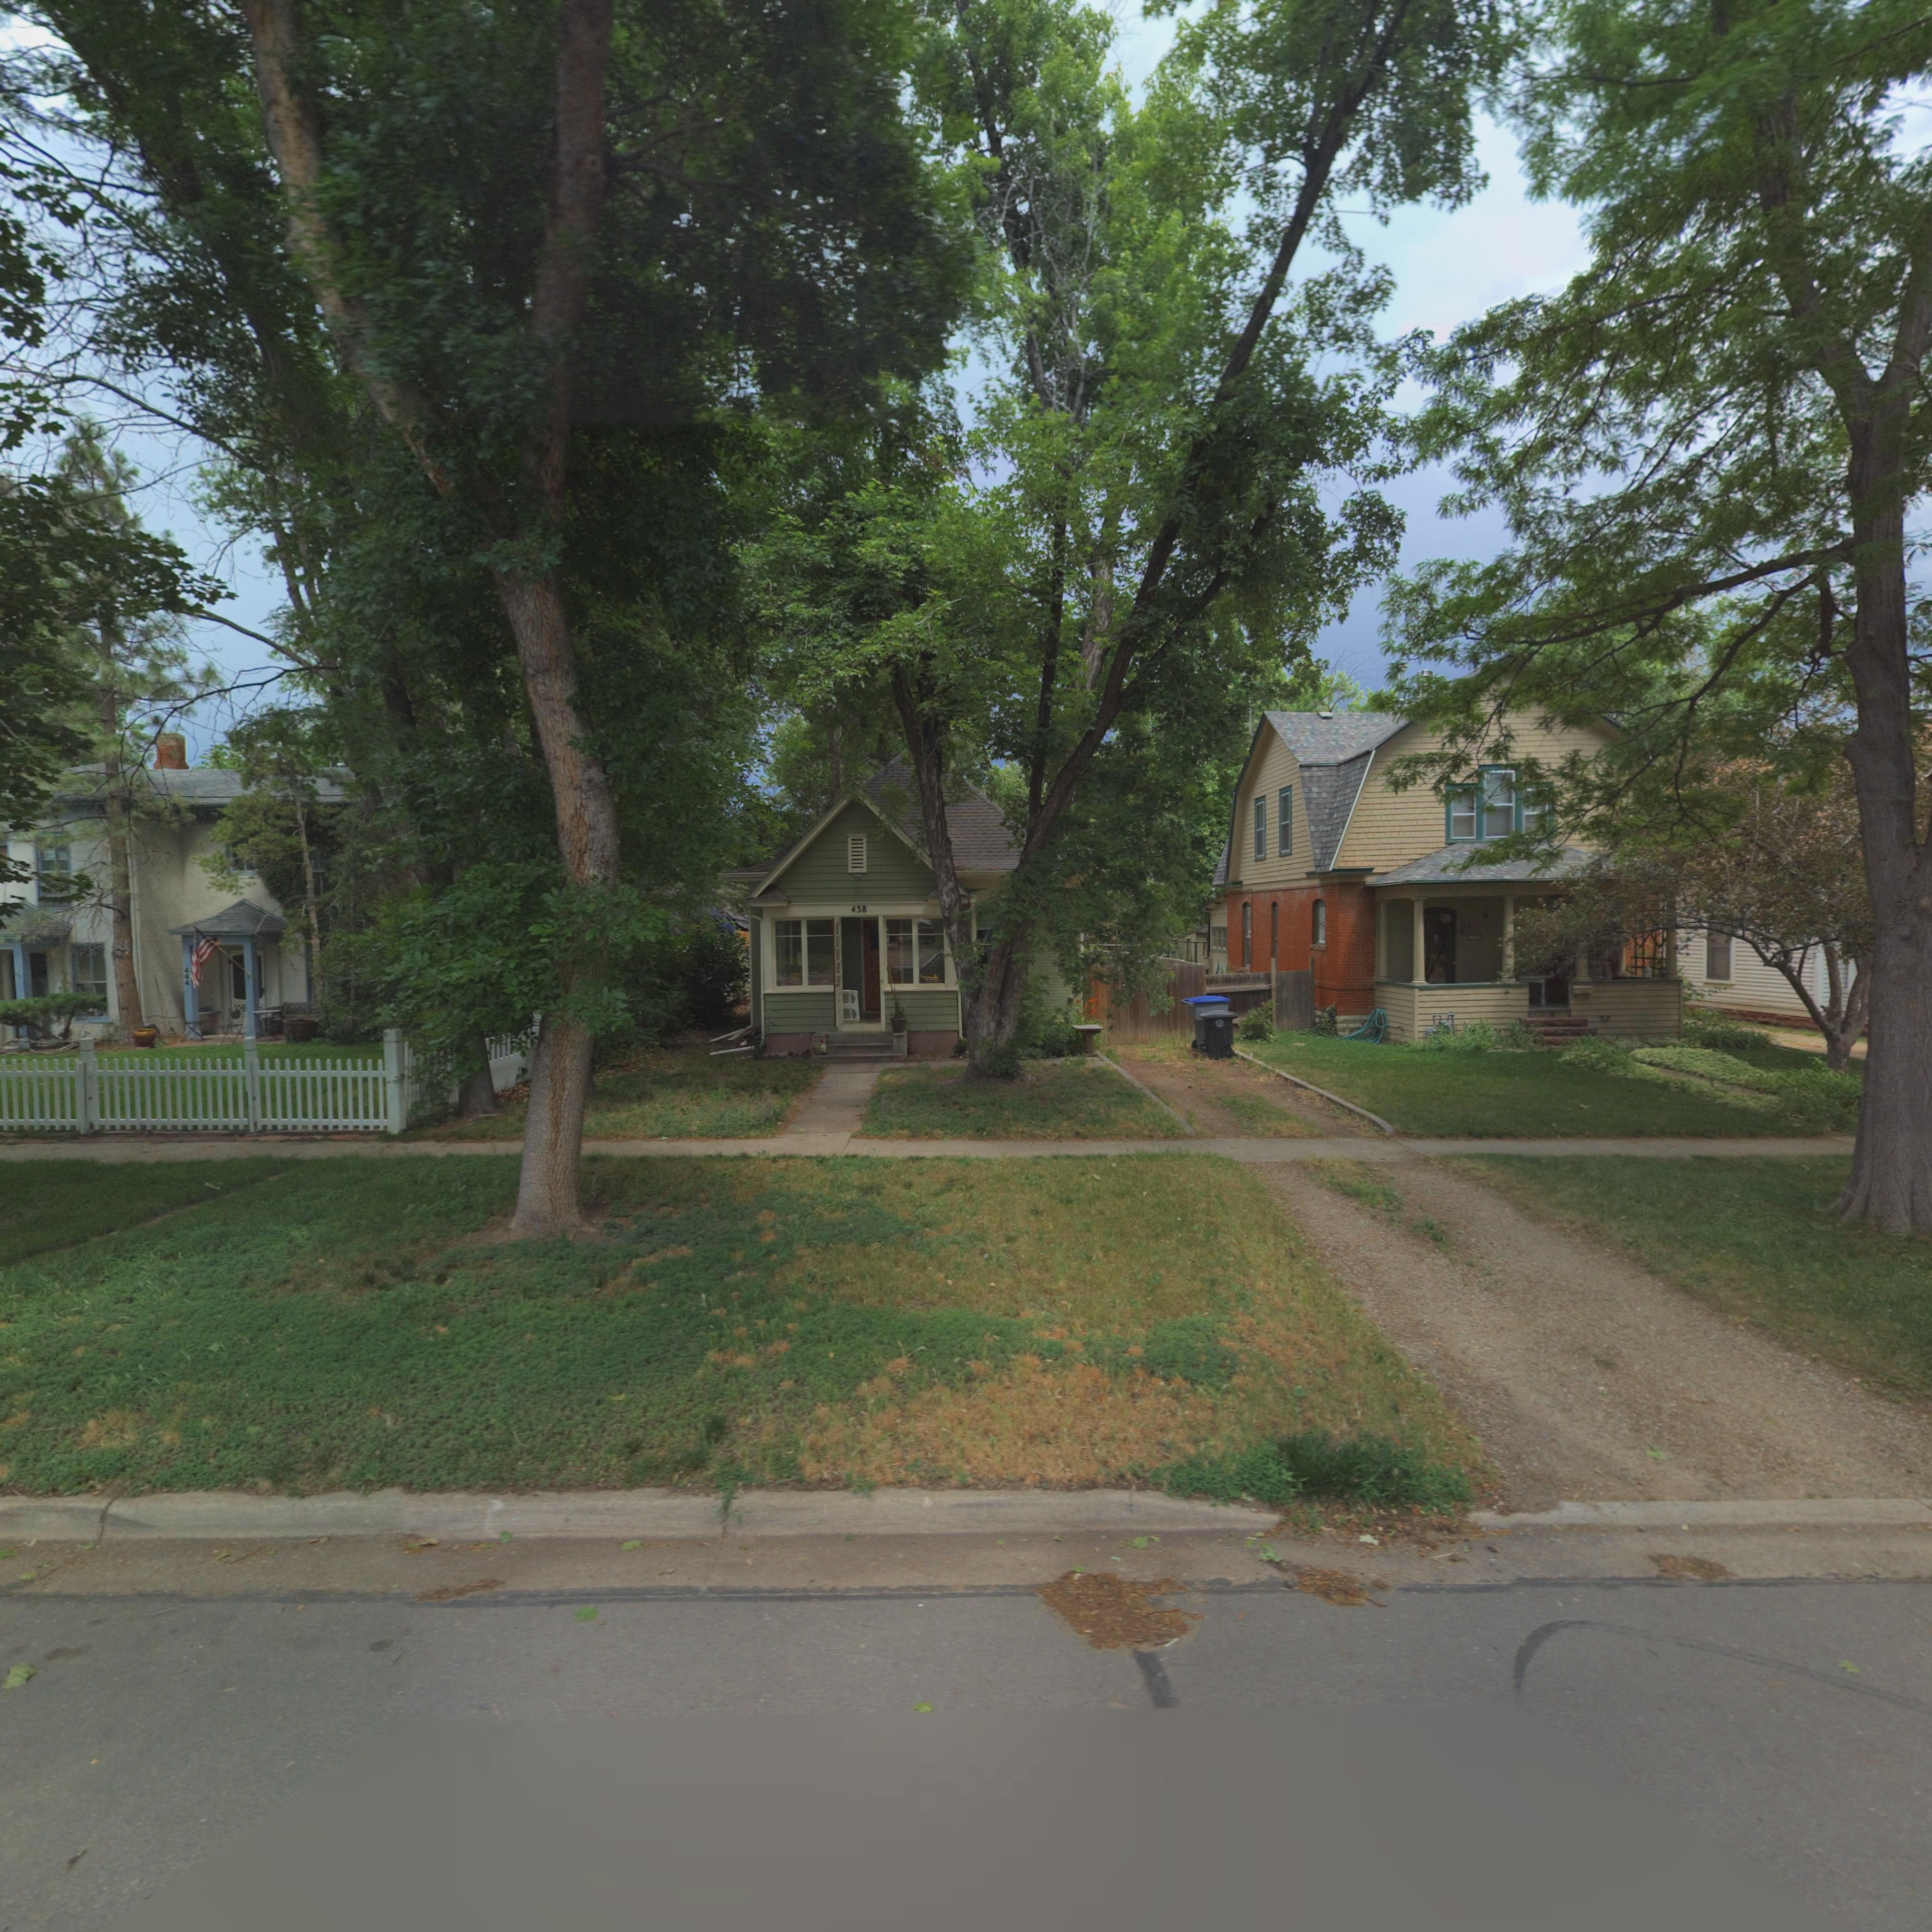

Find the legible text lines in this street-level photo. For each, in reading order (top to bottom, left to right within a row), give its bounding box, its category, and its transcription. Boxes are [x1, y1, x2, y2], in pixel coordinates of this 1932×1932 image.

[850, 905, 867, 913] StreetNumber: 438
[184, 967, 190, 986] StreetNumber: 444